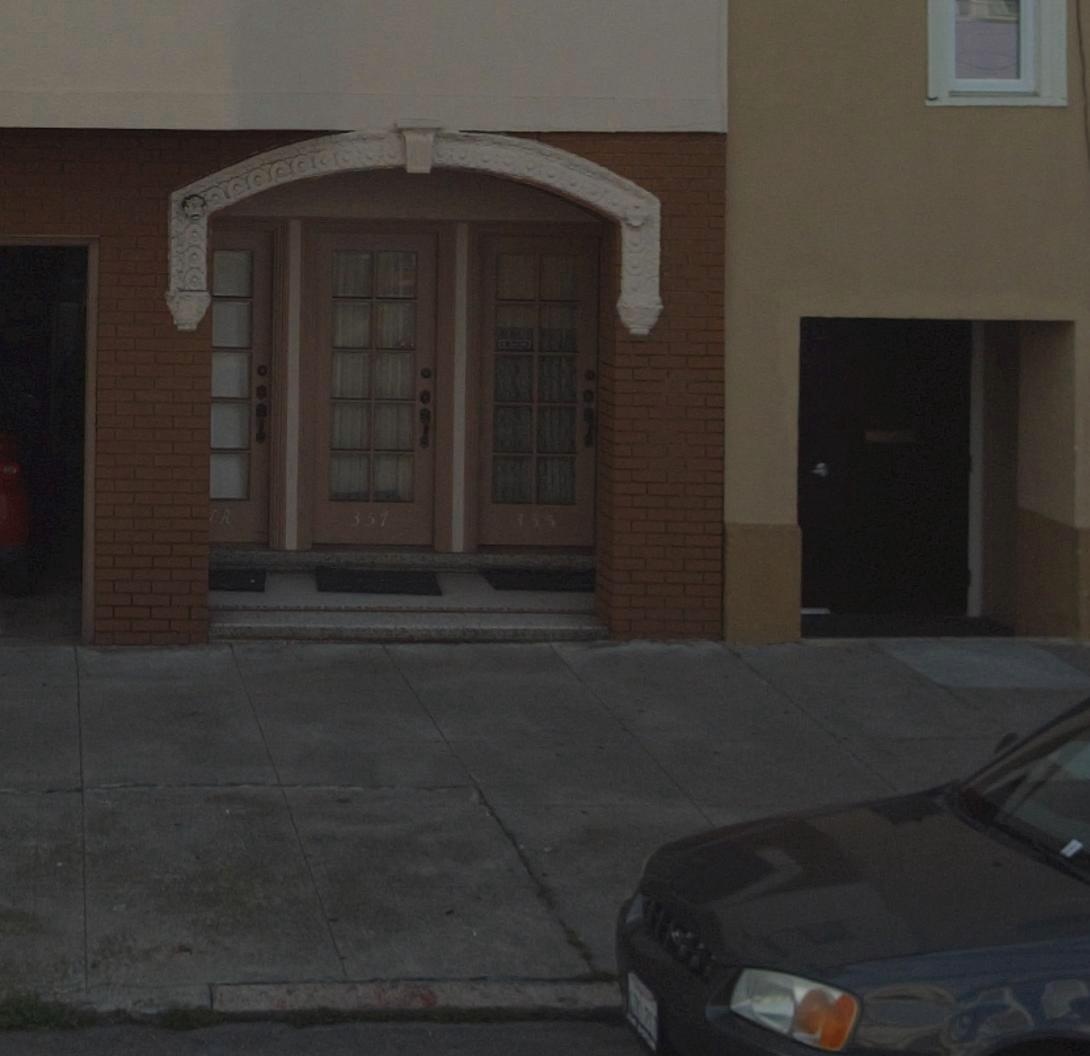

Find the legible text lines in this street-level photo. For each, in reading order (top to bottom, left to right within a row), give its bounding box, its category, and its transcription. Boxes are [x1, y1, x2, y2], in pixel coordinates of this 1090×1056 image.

[217, 506, 232, 527] StreetNumber: R
[349, 510, 389, 528] StreetNumber: 357
[512, 511, 557, 532] StreetNumber: 355